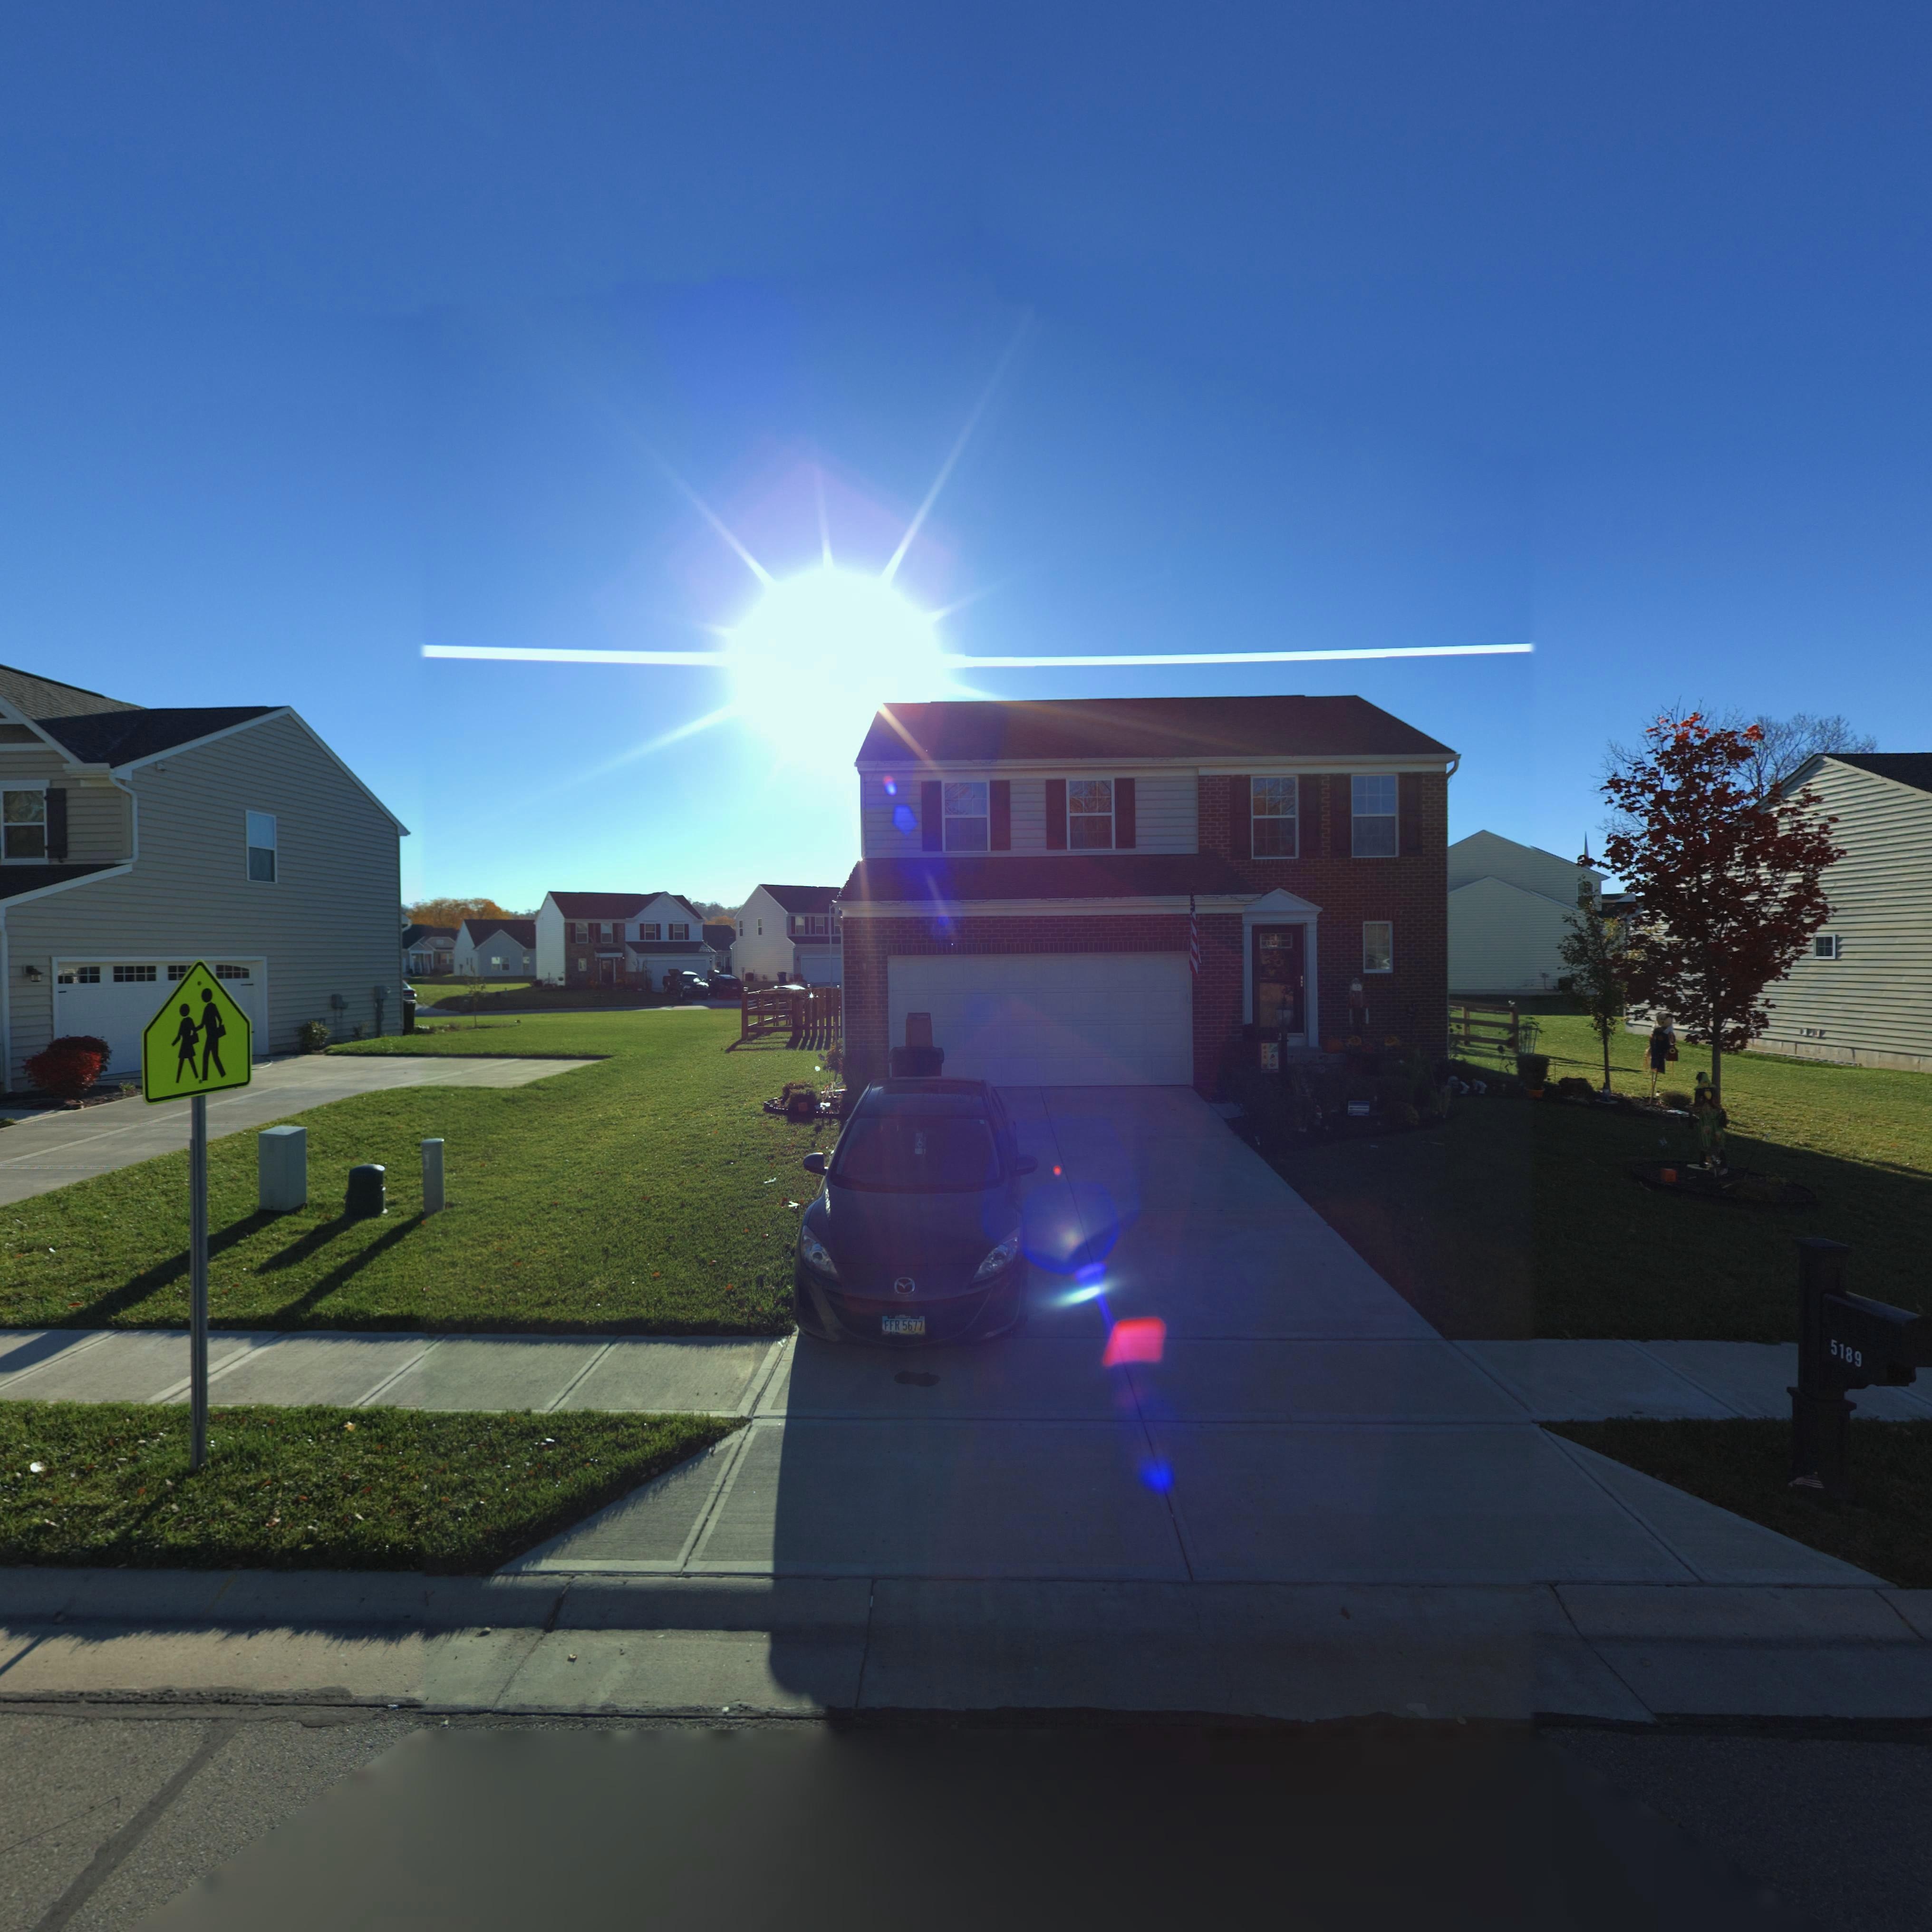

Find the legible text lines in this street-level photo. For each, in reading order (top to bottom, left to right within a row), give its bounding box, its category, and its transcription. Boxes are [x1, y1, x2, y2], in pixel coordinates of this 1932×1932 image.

[1829, 1336, 1863, 1369] StreetNumber: 5189